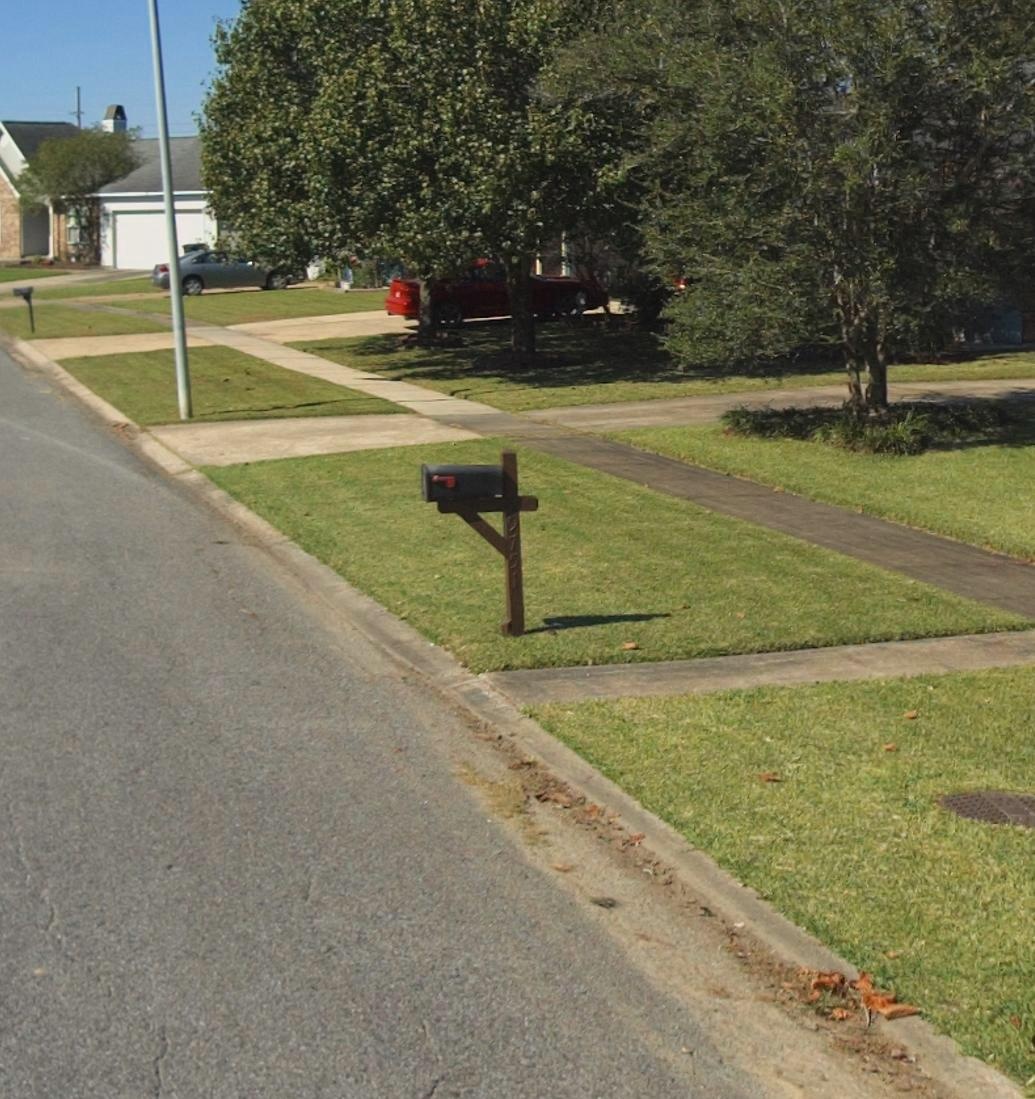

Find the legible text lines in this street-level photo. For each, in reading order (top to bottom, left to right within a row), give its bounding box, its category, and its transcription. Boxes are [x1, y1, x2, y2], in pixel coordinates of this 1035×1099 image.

[506, 514, 521, 591] StreetNumber: 9751